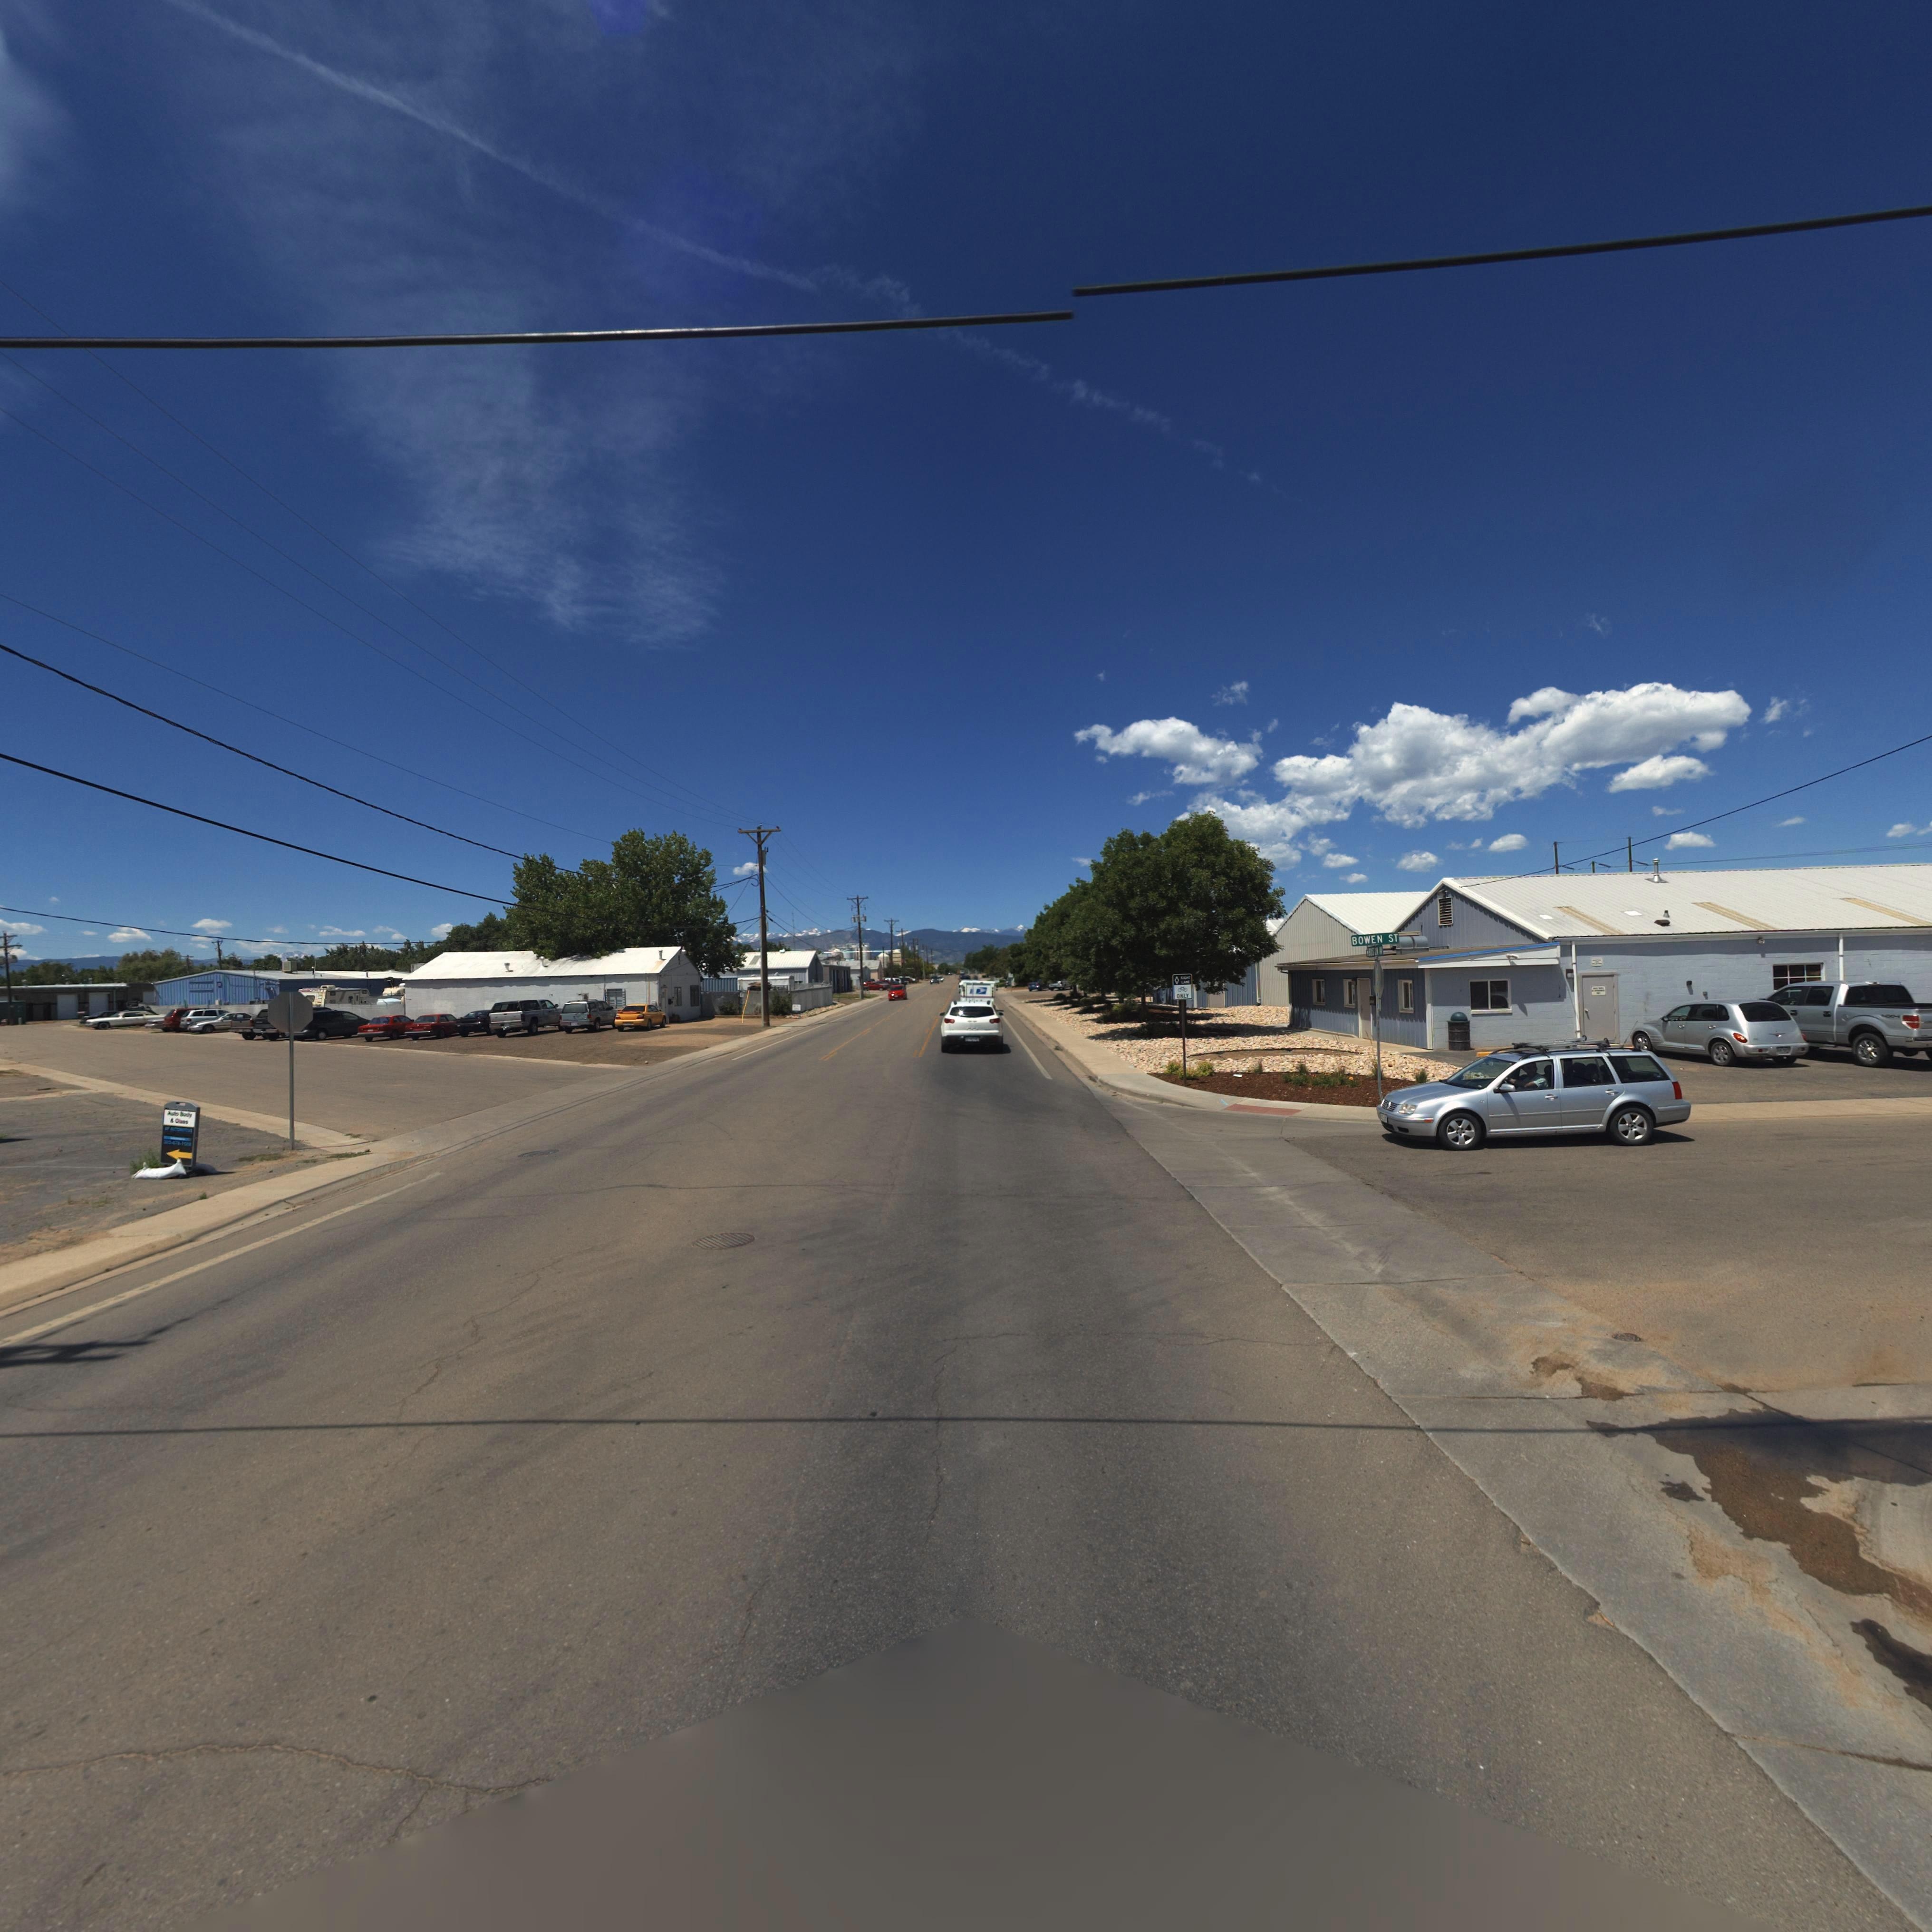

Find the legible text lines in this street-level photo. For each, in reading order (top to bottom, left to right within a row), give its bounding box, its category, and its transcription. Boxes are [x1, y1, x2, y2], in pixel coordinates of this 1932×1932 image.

[1352, 933, 1398, 945] StreetName: BOWEN ST
[1368, 946, 1382, 956] StreetName: B*S*** **